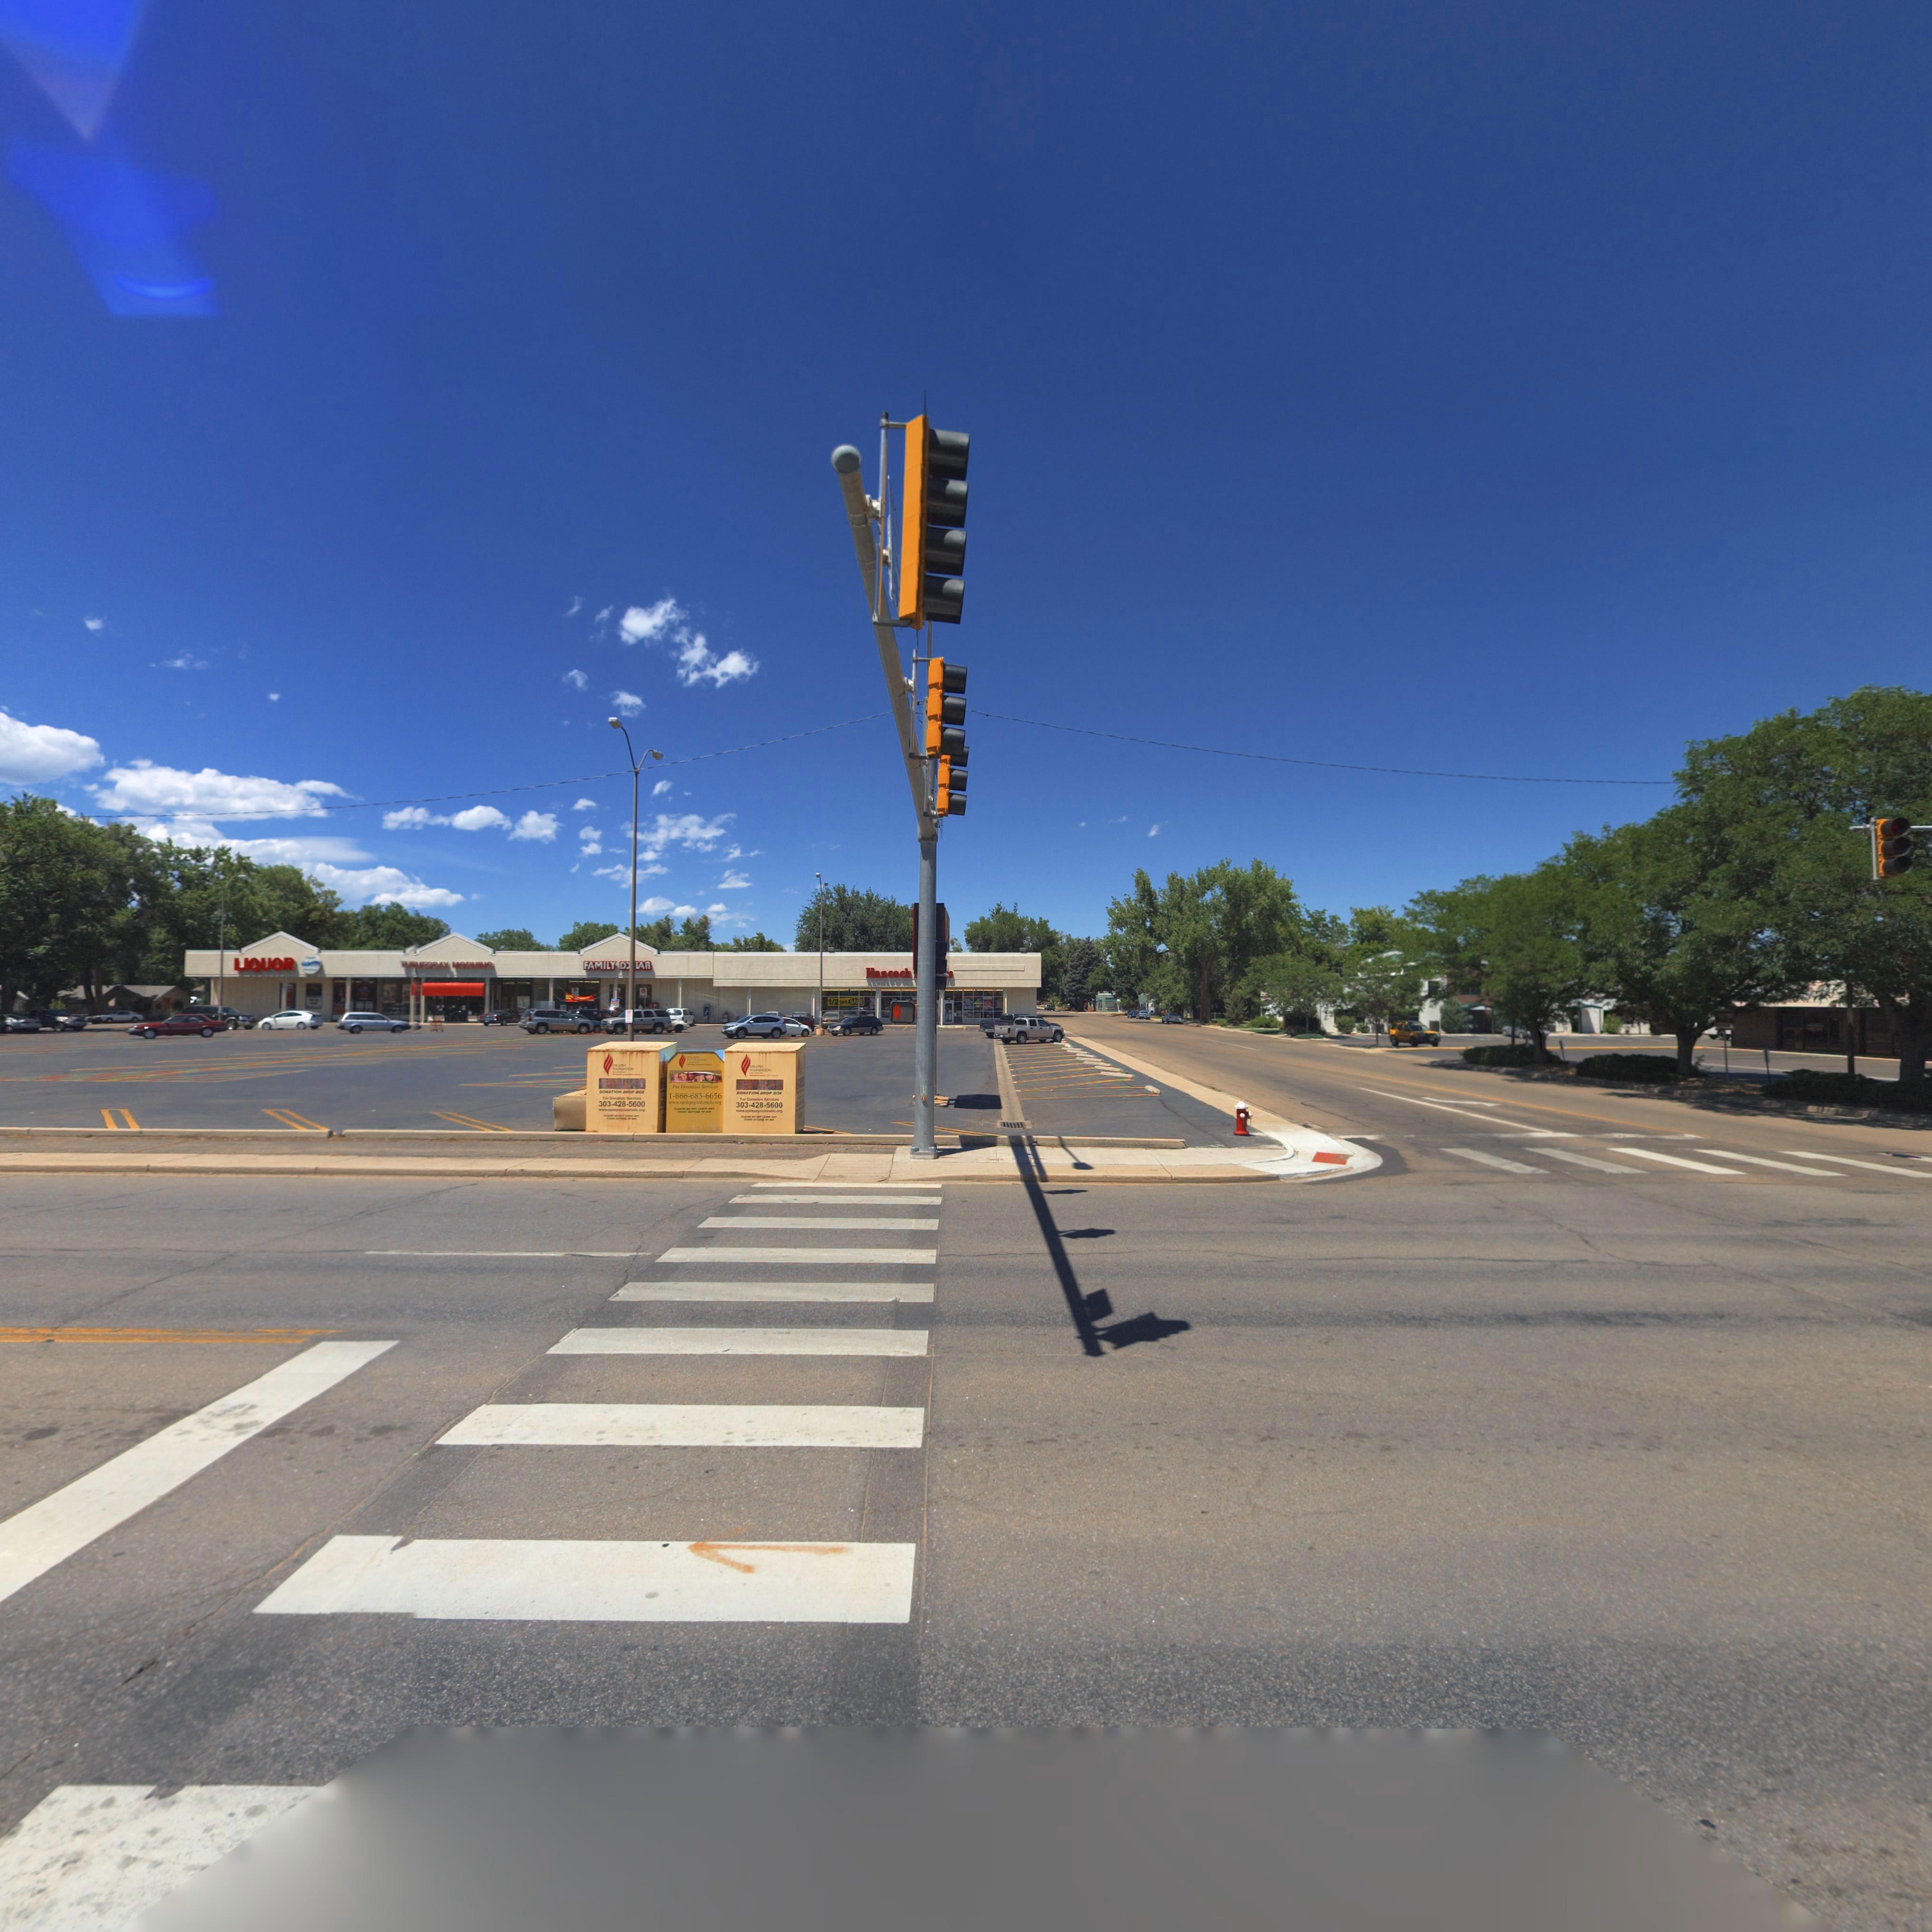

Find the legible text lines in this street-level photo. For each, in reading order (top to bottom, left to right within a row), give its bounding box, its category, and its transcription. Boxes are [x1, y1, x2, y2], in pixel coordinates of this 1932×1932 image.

[233, 956, 295, 974] BusinessName: LIQUOR
[399, 961, 493, 969] BusinessName: TUESDAY MORNING
[583, 961, 651, 970] BusinessName: FAMILY ***LAR
[865, 967, 911, 978] BusinessName: Hancock